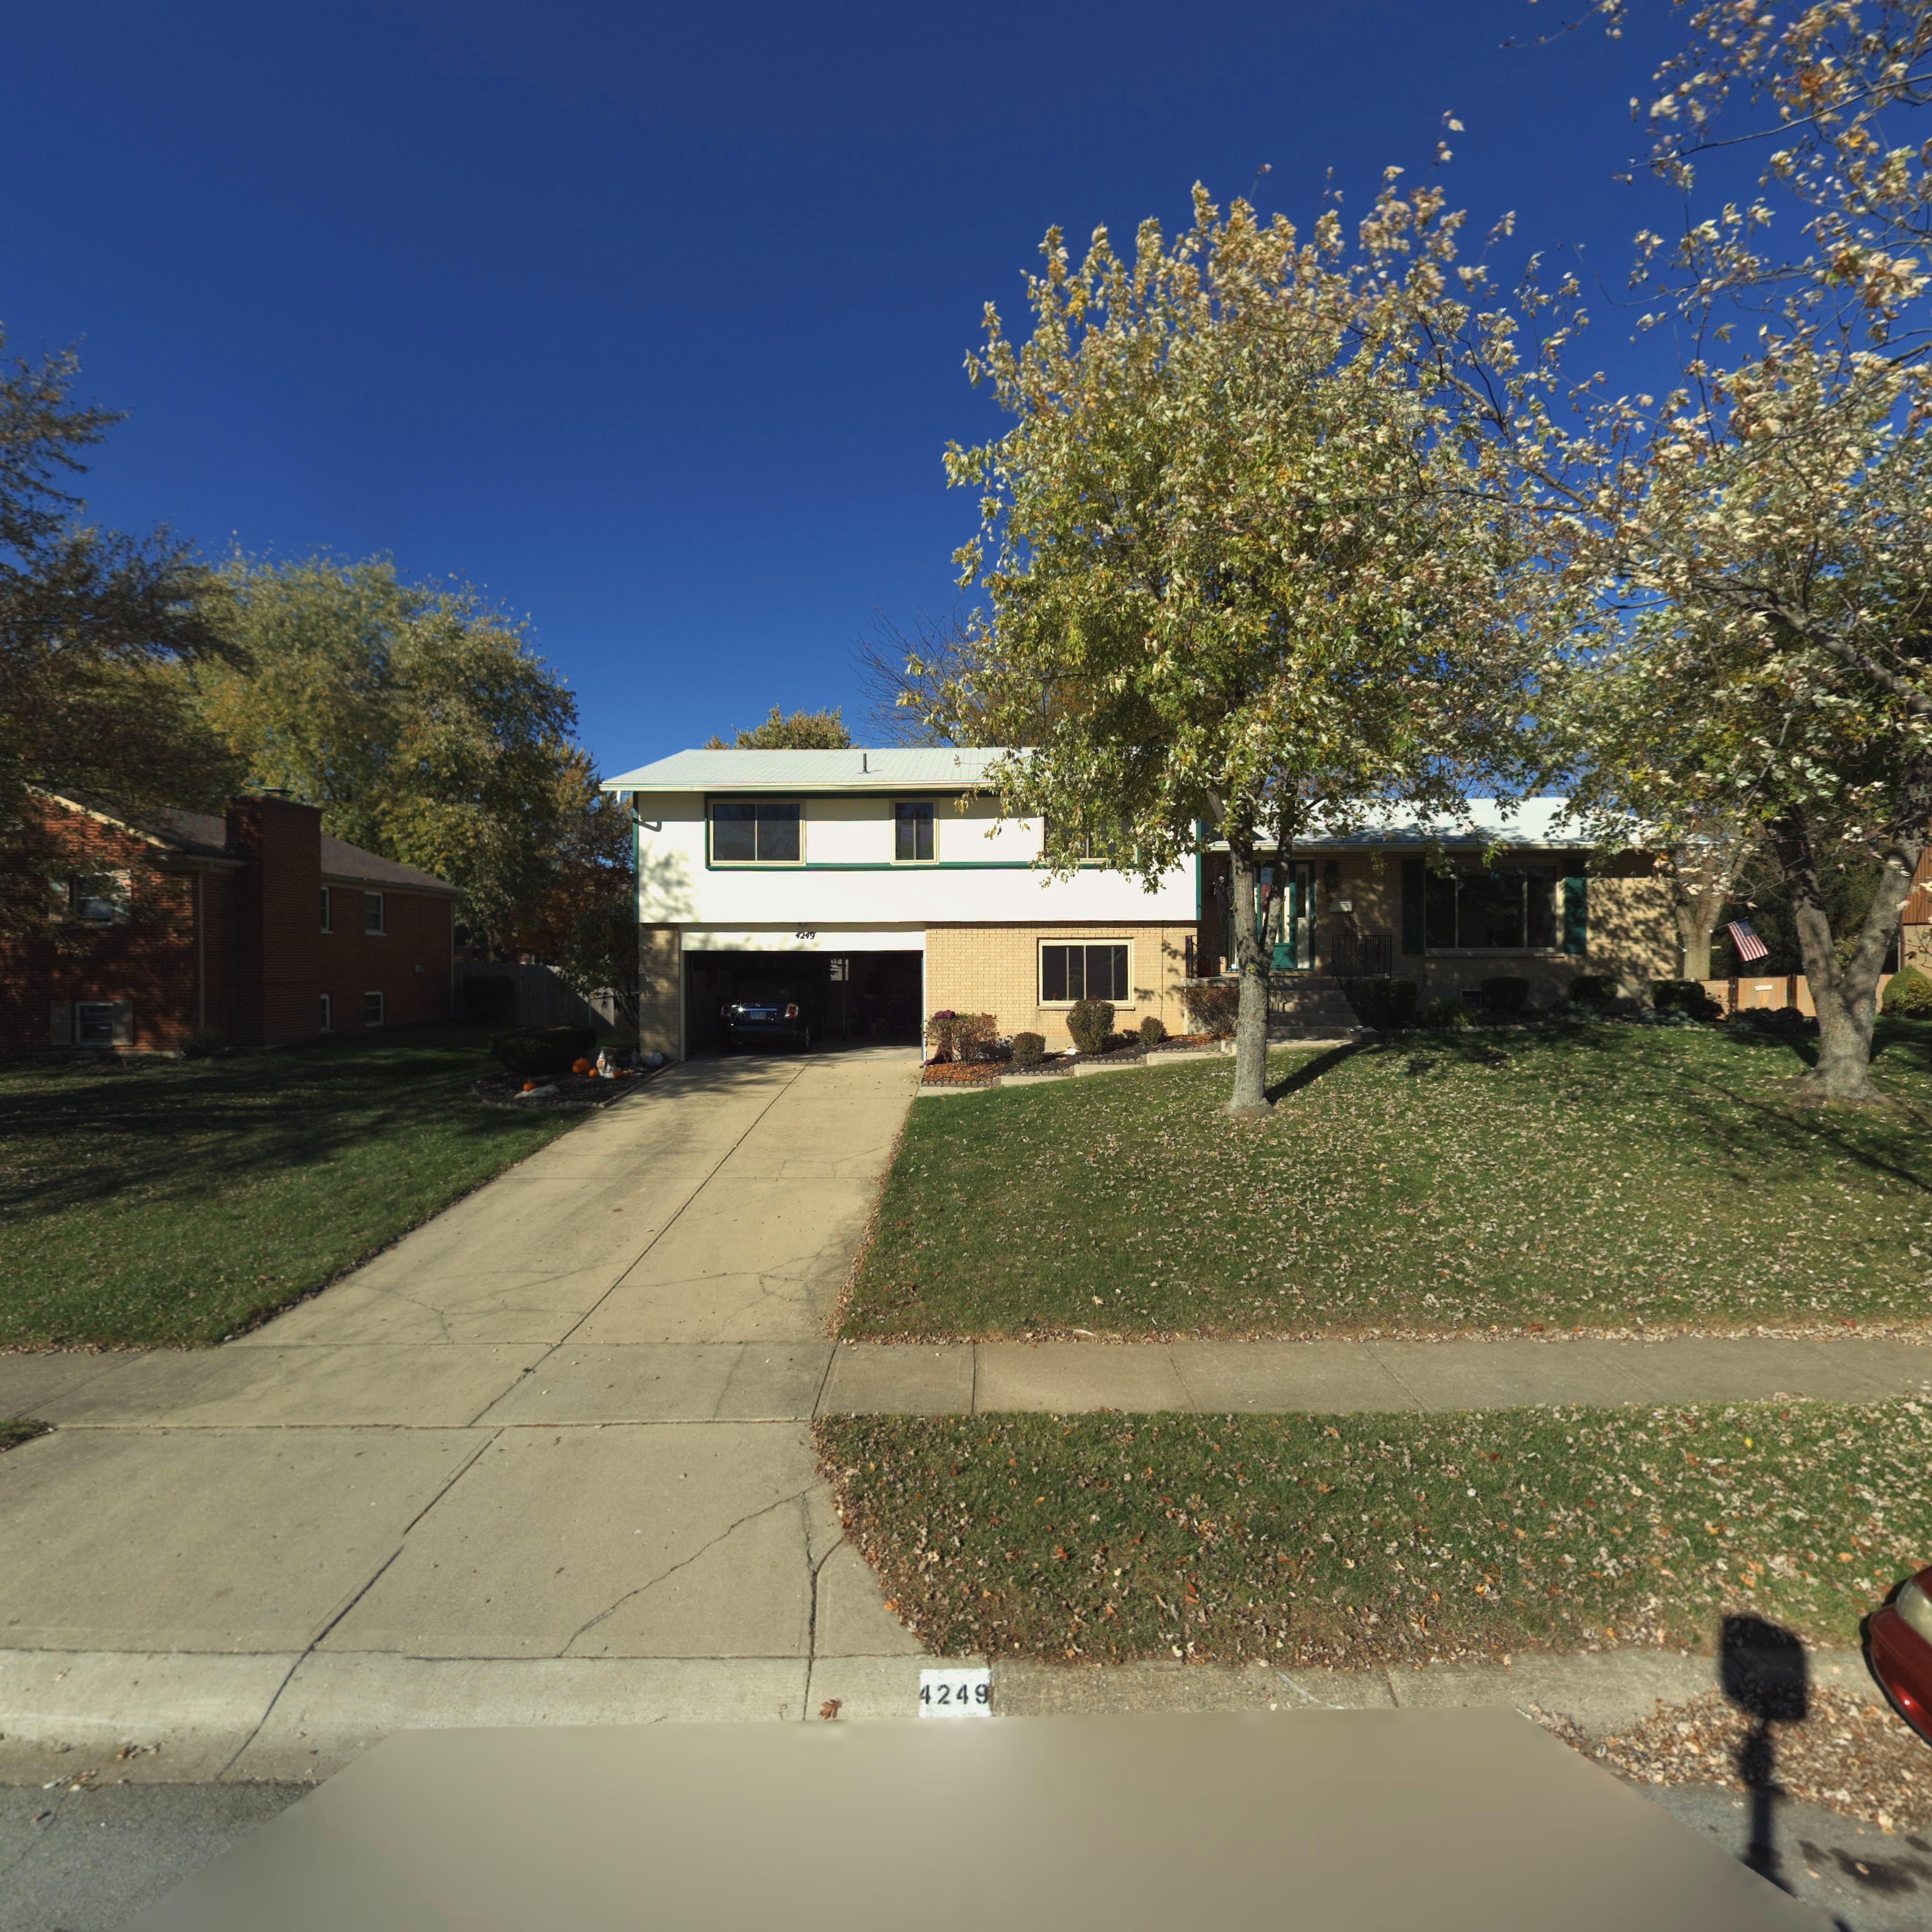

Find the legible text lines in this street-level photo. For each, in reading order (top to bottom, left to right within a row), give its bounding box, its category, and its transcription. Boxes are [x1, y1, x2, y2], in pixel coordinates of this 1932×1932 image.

[794, 930, 816, 941] StreetNumber: 4249
[917, 1681, 991, 1706] StreetNumber: 4249